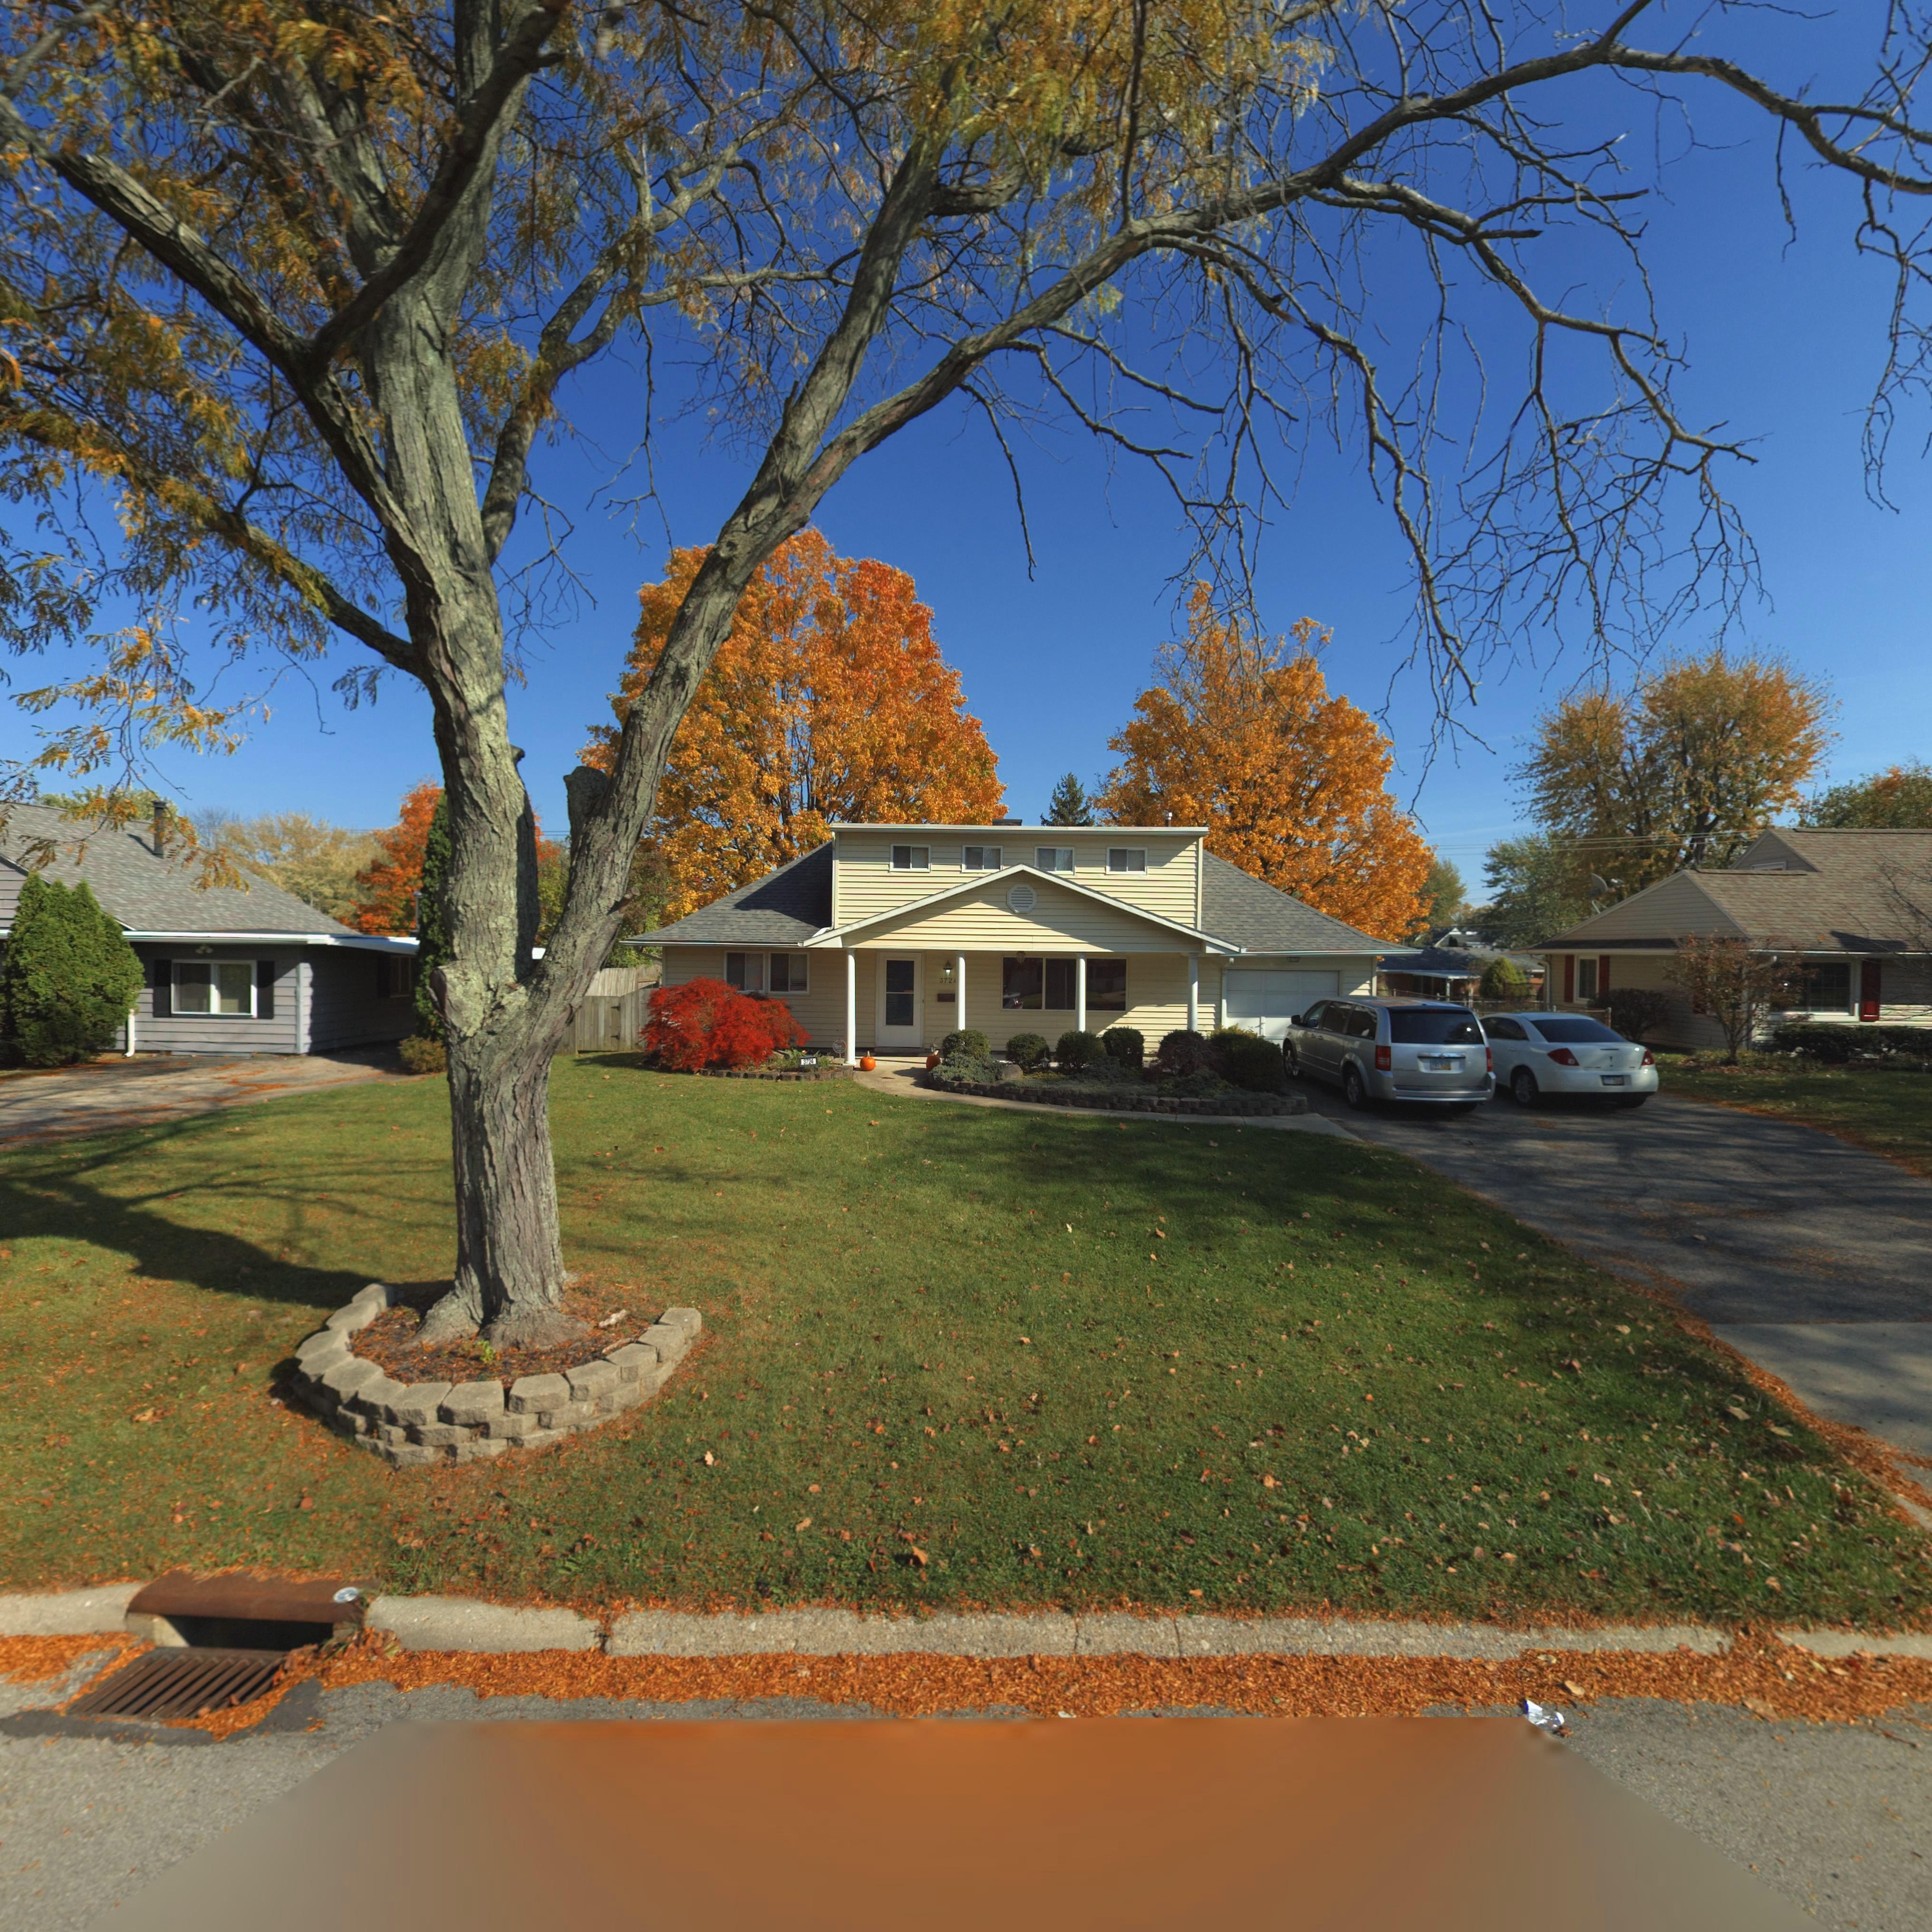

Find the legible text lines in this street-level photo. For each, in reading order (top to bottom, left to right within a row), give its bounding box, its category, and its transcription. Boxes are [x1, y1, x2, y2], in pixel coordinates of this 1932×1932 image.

[939, 977, 956, 985] StreetNumber: 372*